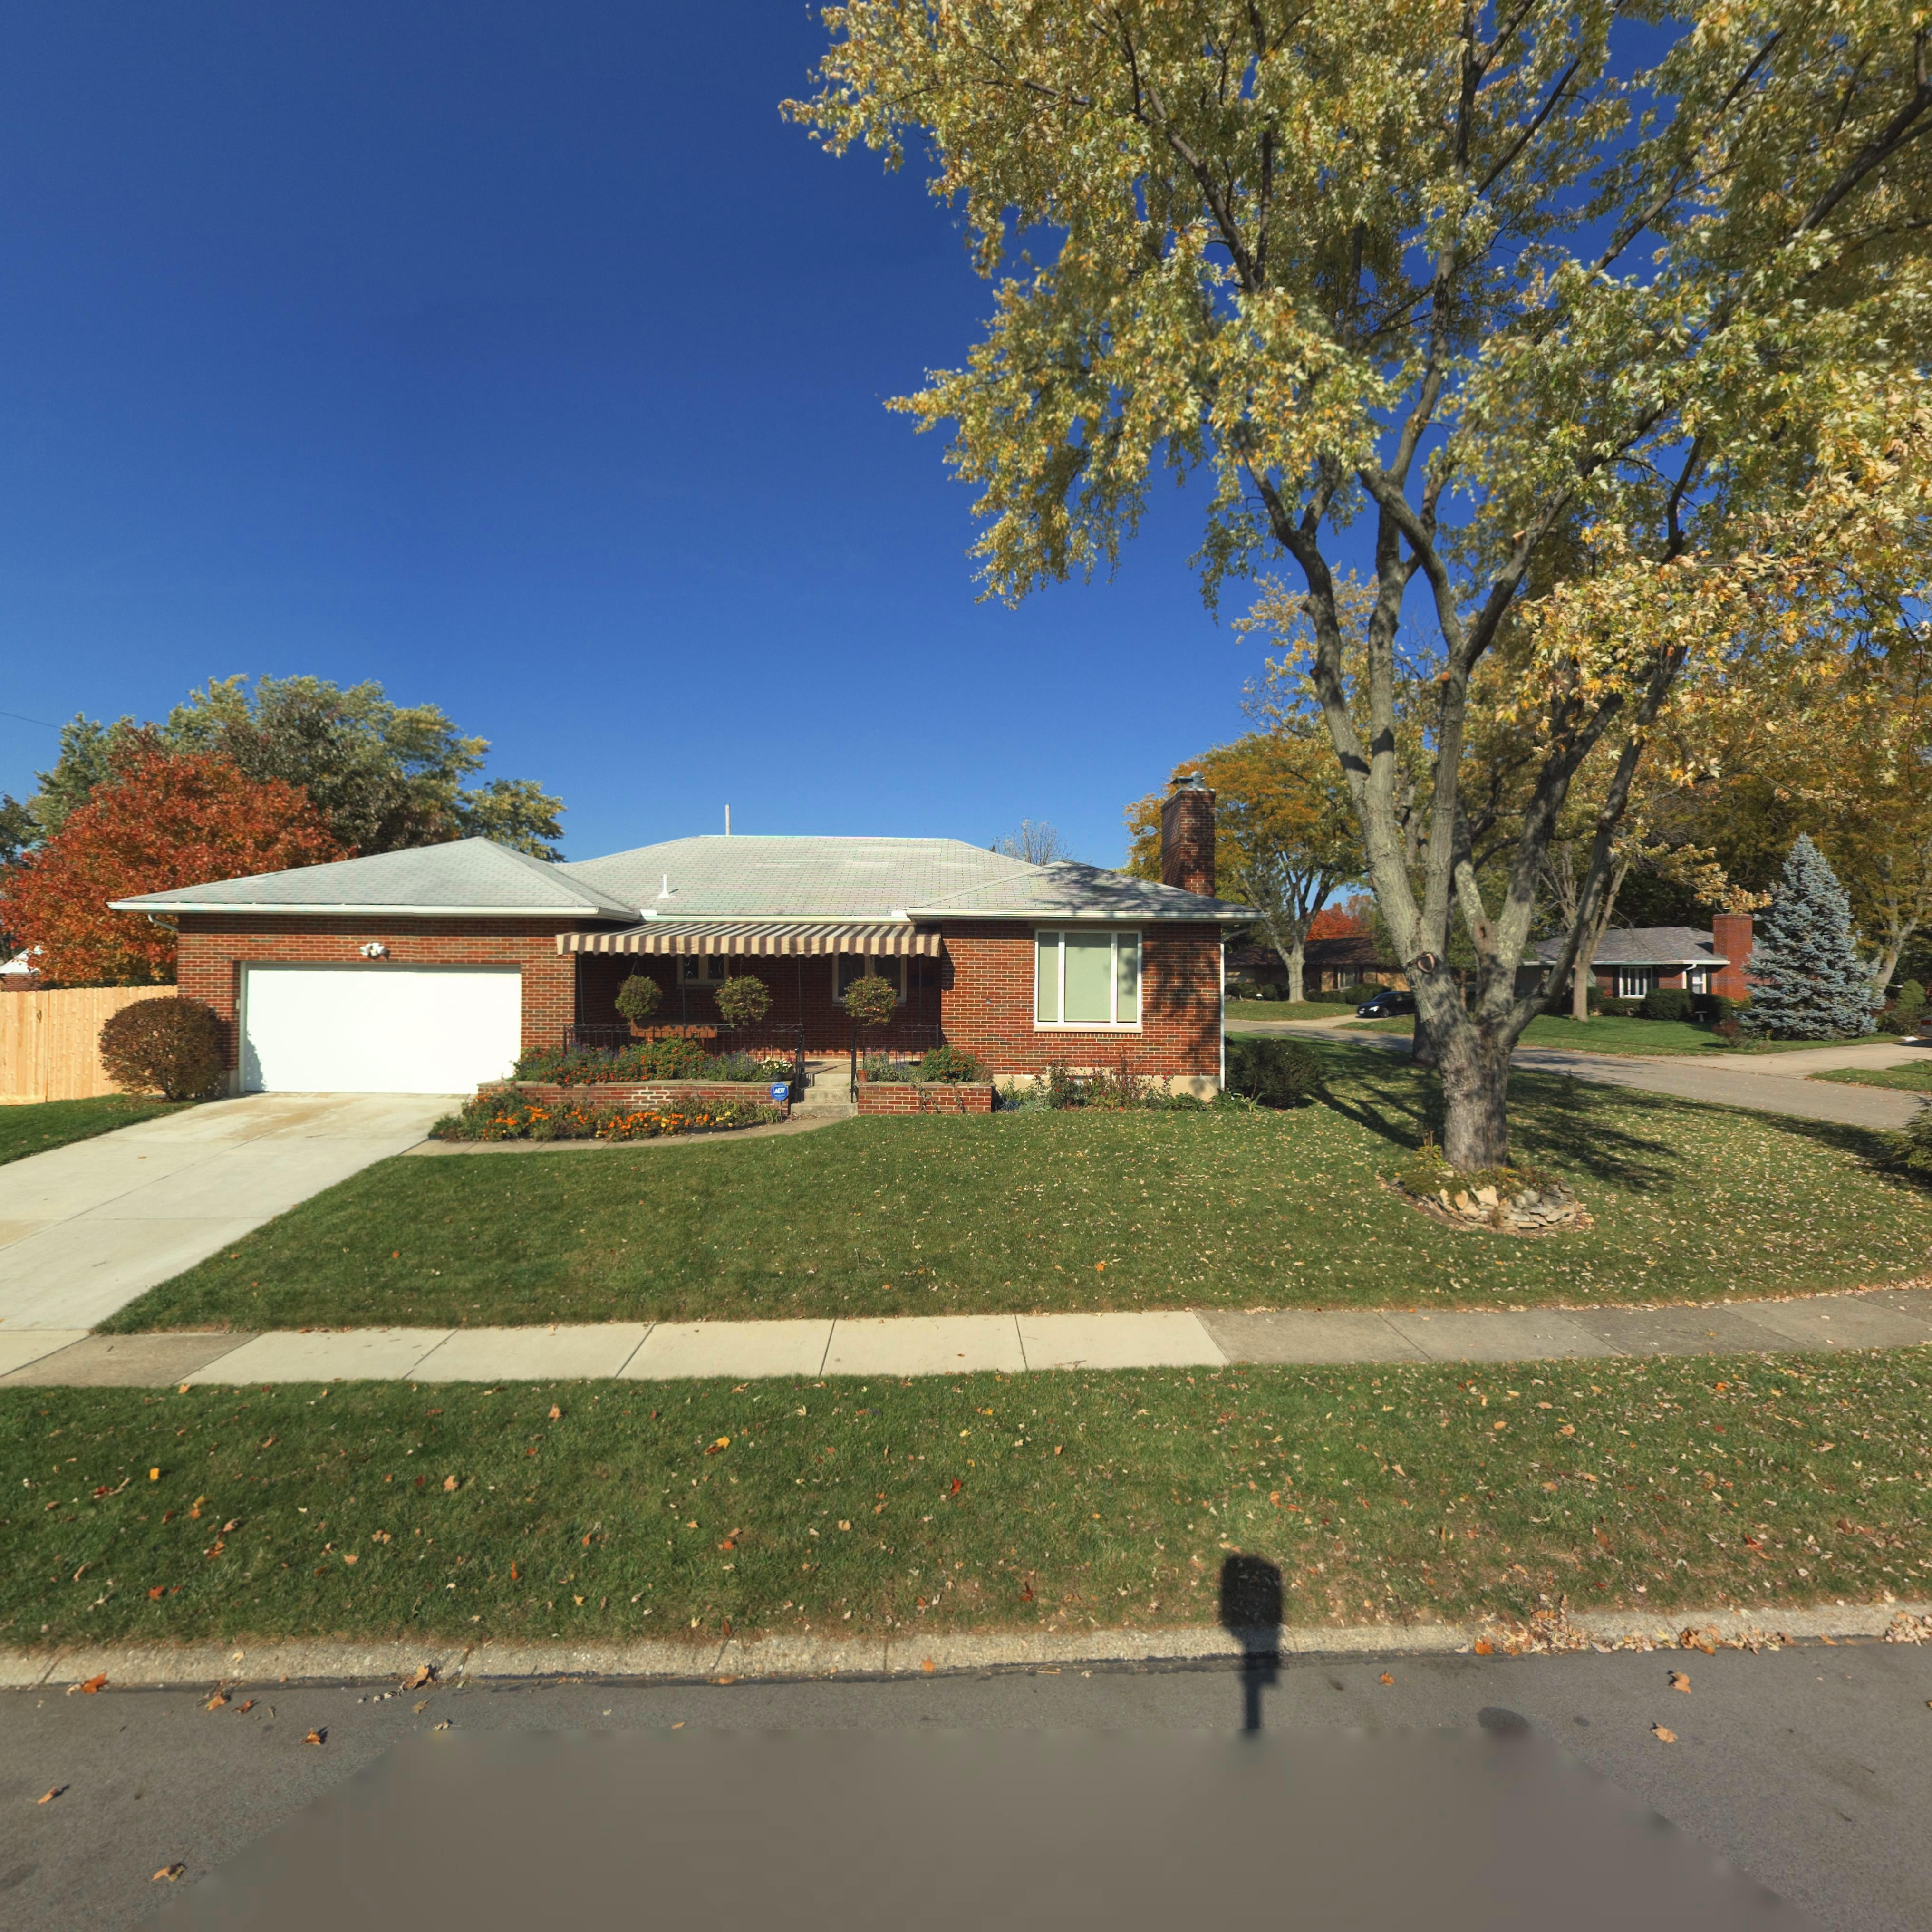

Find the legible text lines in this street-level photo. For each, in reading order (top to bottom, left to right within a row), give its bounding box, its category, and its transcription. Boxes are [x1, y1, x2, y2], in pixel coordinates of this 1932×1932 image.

[773, 1088, 785, 1094] None: ADT